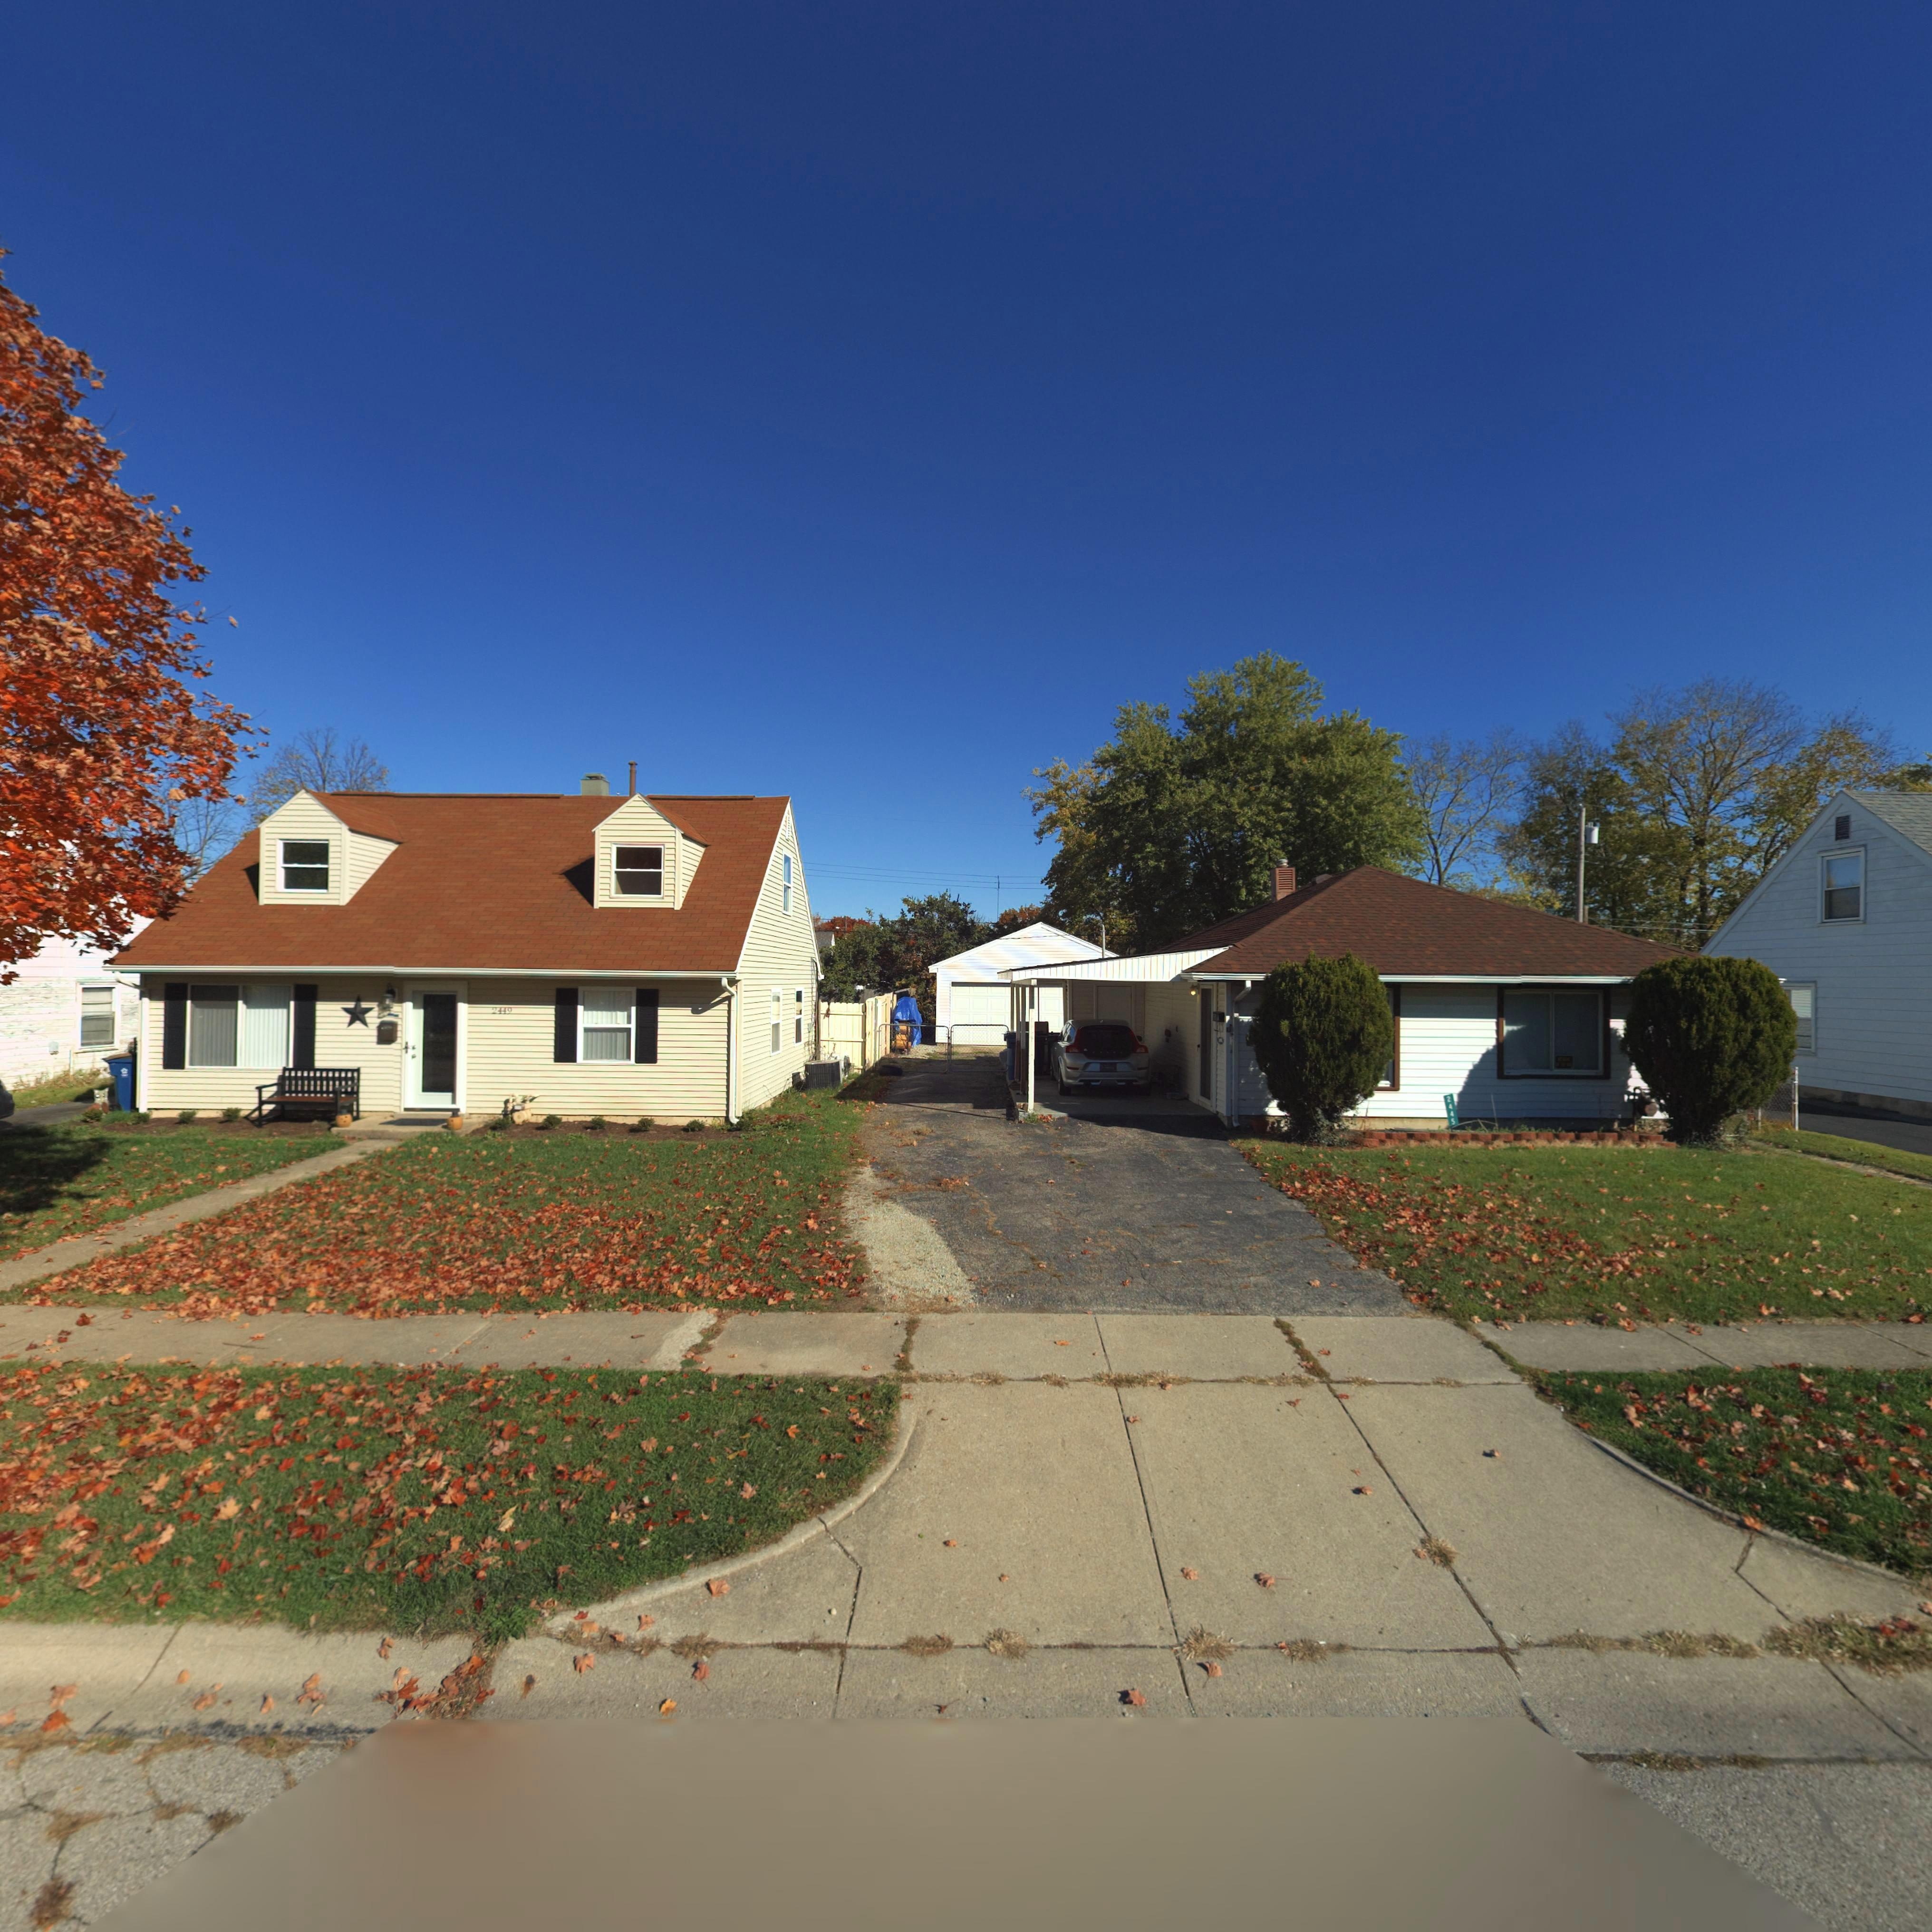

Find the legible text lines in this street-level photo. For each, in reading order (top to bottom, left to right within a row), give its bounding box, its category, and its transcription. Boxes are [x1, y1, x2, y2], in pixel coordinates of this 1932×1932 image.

[491, 1006, 512, 1015] StreetNumber: 2449
[1445, 1095, 1457, 1126] StreetNumber: 2445